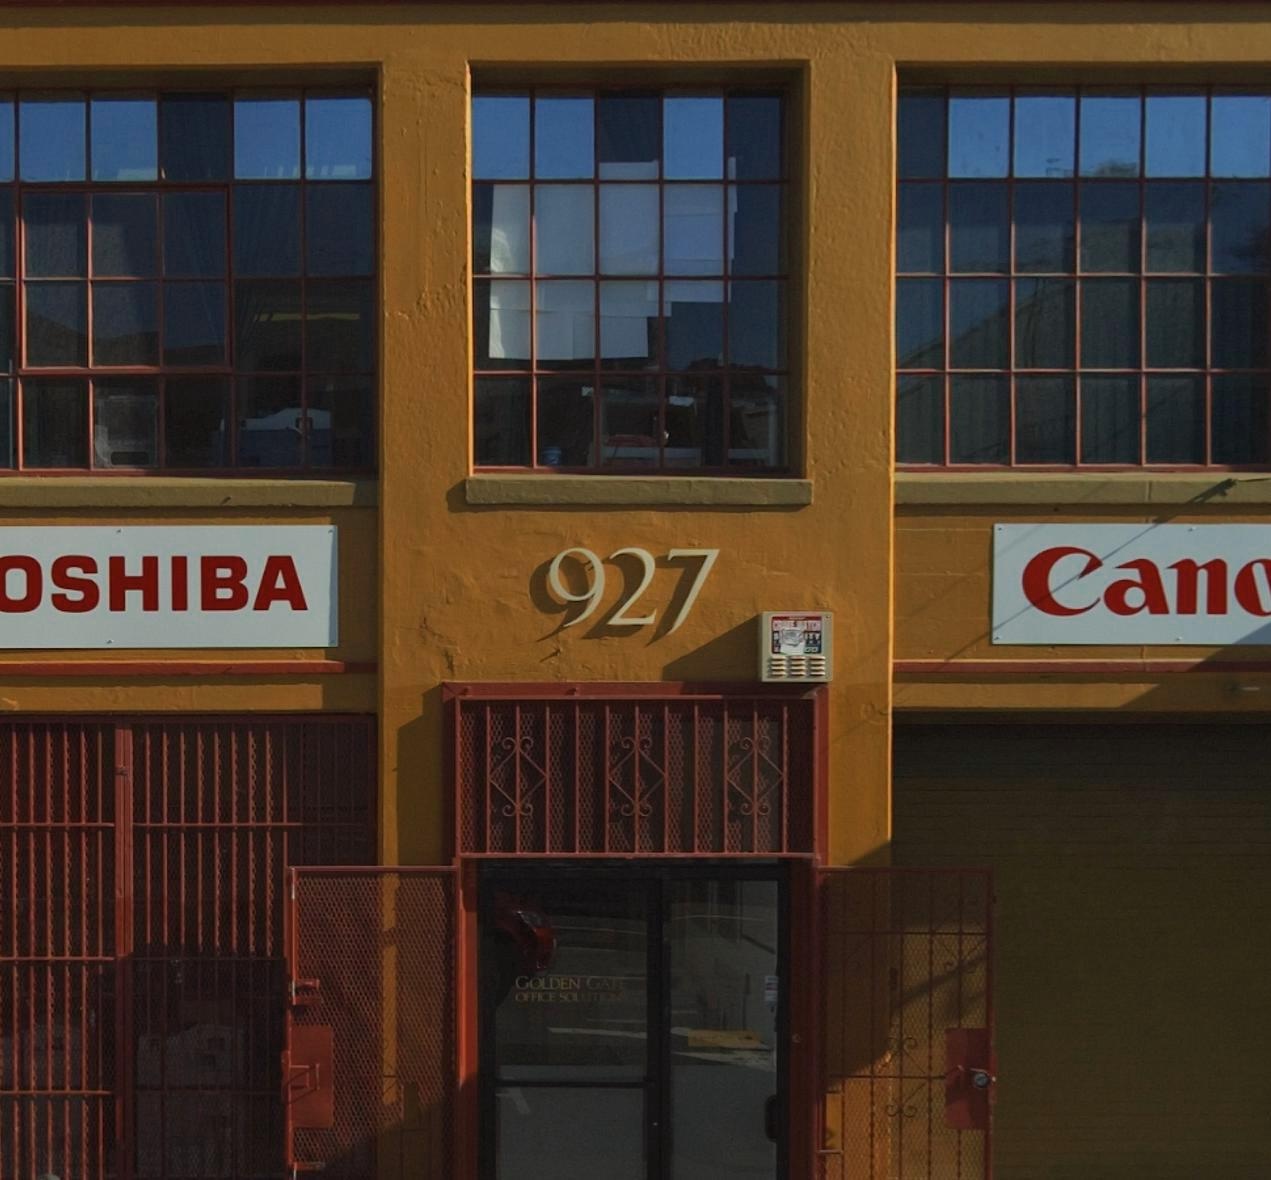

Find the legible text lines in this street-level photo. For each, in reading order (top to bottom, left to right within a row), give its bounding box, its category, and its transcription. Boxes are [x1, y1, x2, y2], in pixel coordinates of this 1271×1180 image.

[0, 554, 308, 611] None: OSHIBA
[547, 543, 728, 638] StreetNumber: 927
[1017, 543, 1230, 618] None: Can
[513, 973, 631, 992] BusinessName: GOLDEN GATE
[513, 990, 631, 1004] BusinessName: OFFICE SOLUTIONS